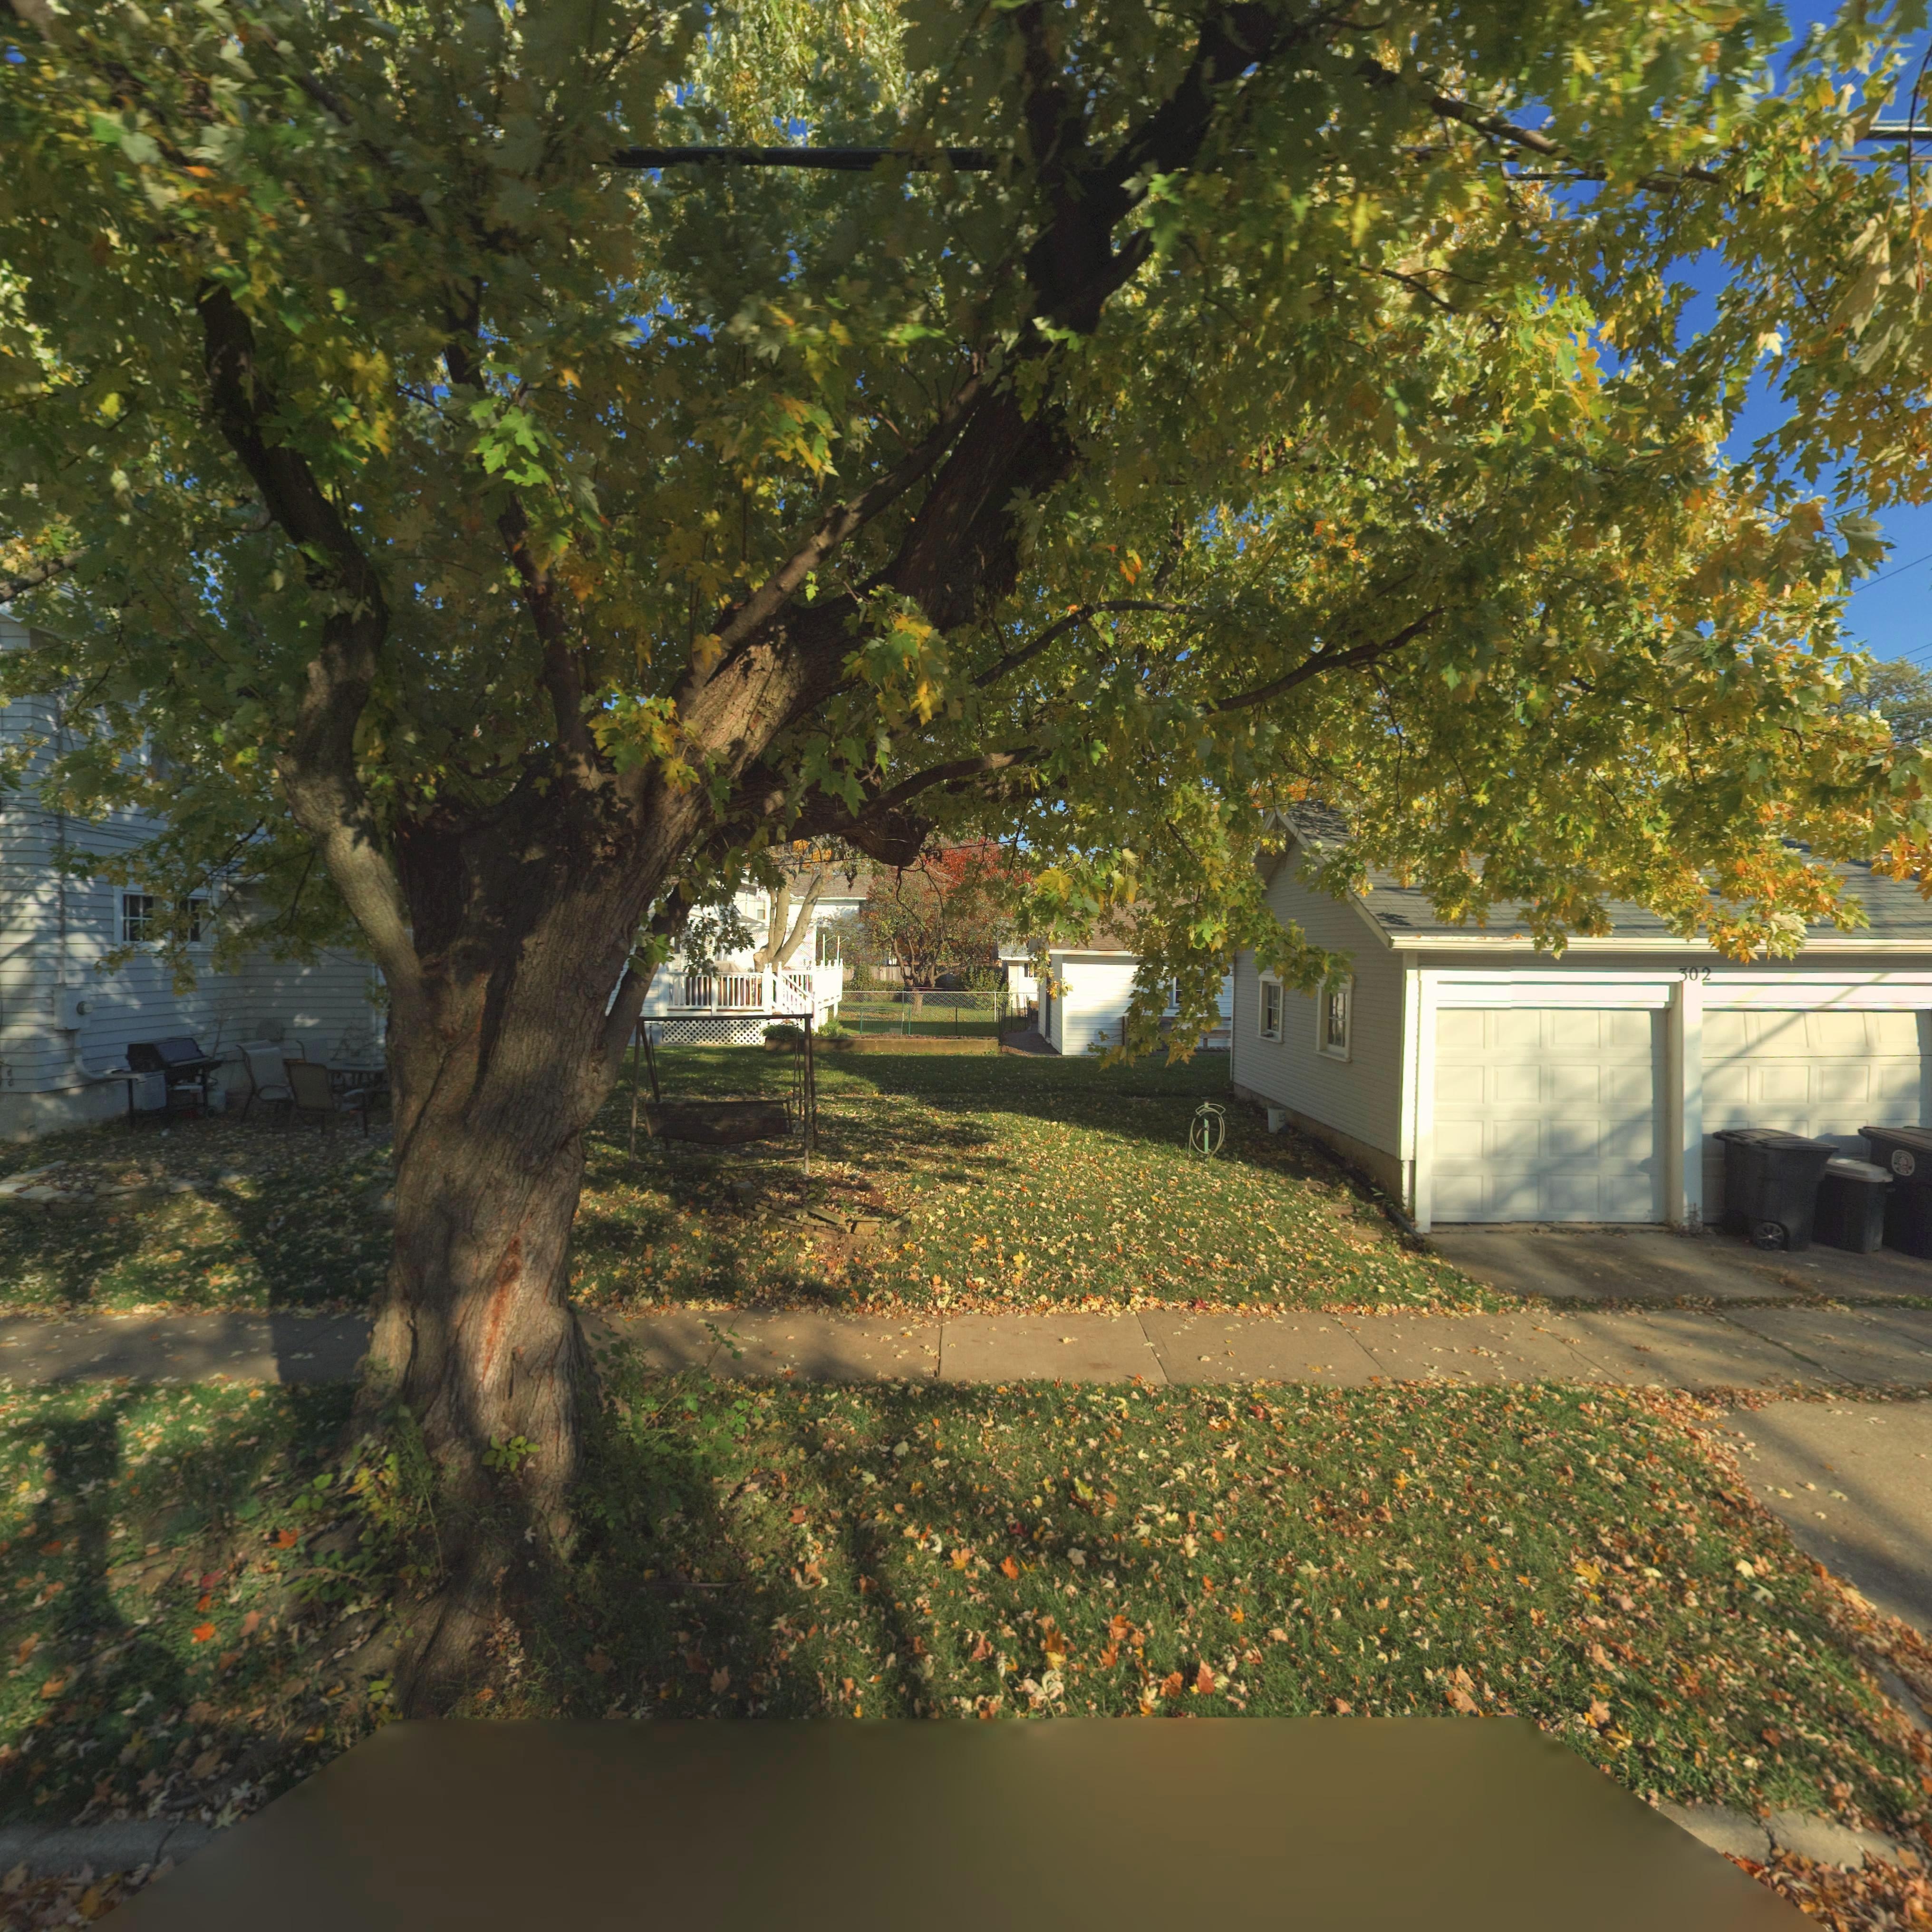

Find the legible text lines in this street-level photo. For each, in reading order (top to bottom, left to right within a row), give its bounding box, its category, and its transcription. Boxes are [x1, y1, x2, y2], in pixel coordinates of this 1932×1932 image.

[1677, 966, 1712, 983] StreetNumber: 302